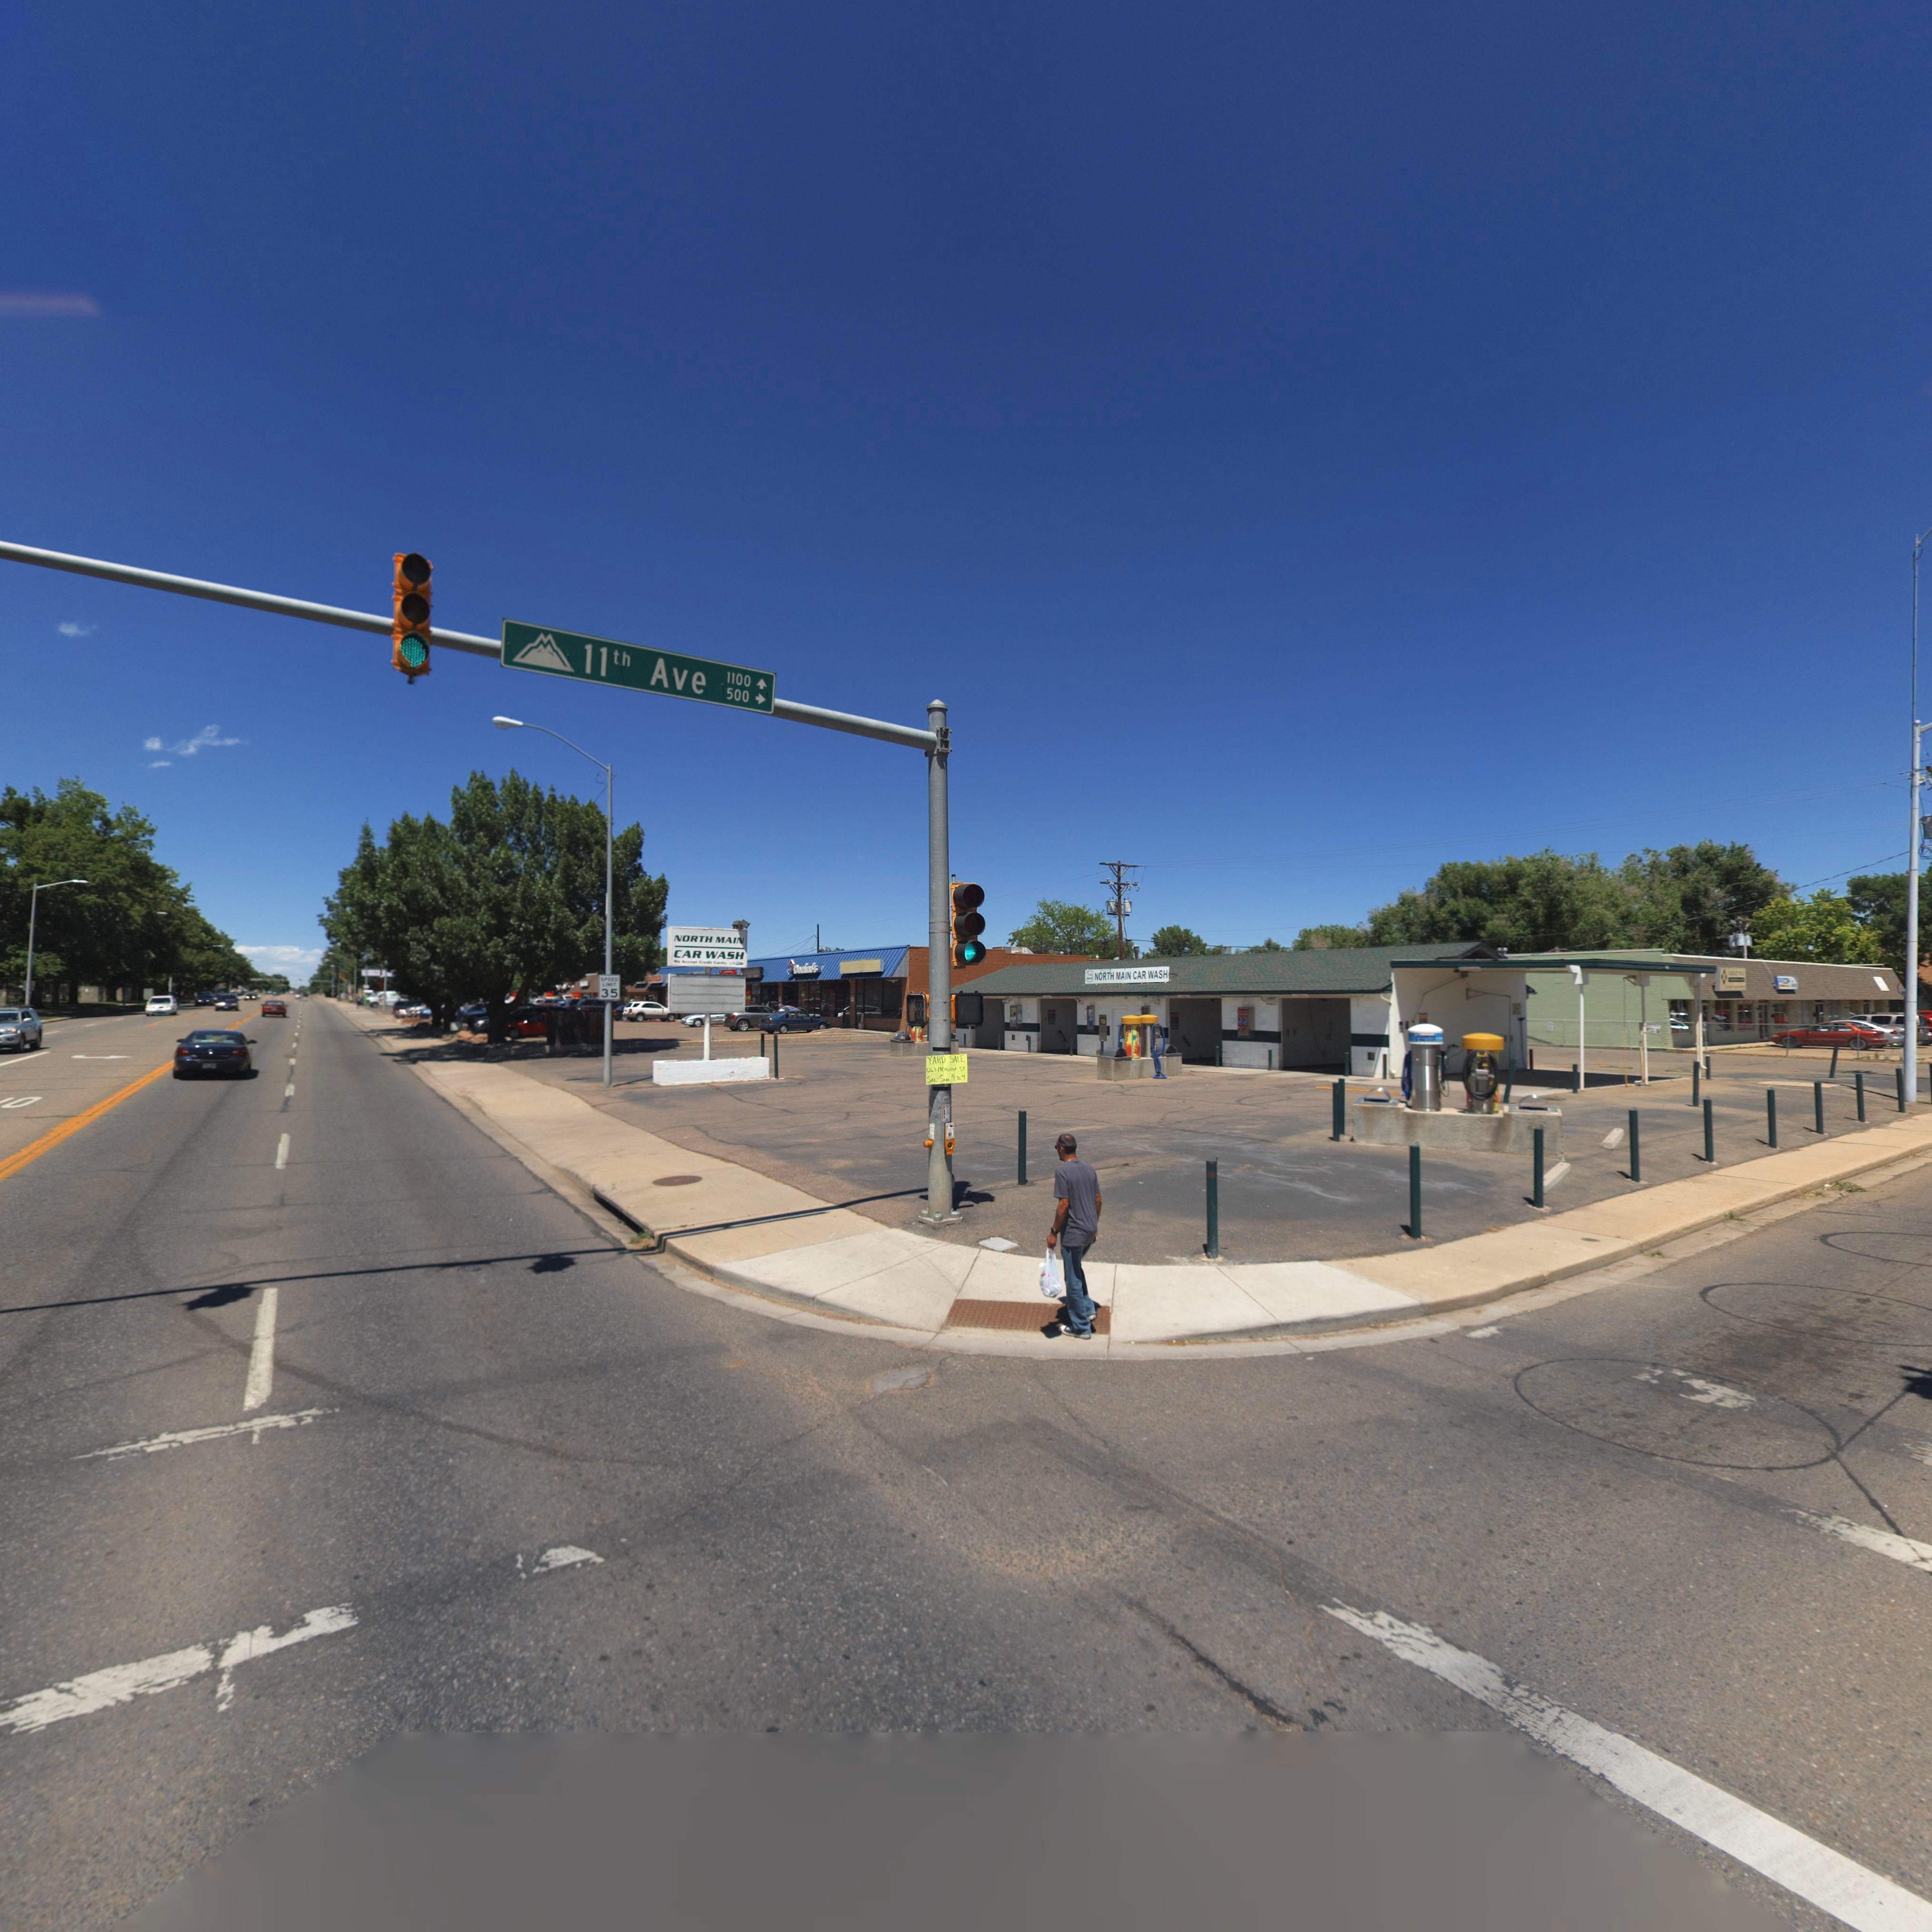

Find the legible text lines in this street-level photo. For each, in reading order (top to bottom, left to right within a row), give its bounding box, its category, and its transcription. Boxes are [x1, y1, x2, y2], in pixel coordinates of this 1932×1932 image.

[584, 642, 708, 696] StreetName: 11th Ave
[726, 671, 751, 687] StreetNumber: 1100
[724, 686, 767, 705] StreetNumberRange: 500->
[673, 933, 746, 944] BusinessName: NORTH MAIN
[673, 949, 744, 959] BusinessName: CAR WASH
[793, 961, 819, 975] None: Do***o's
[1094, 969, 1168, 981] BusinessName: NORTH MAIN CAR WASH